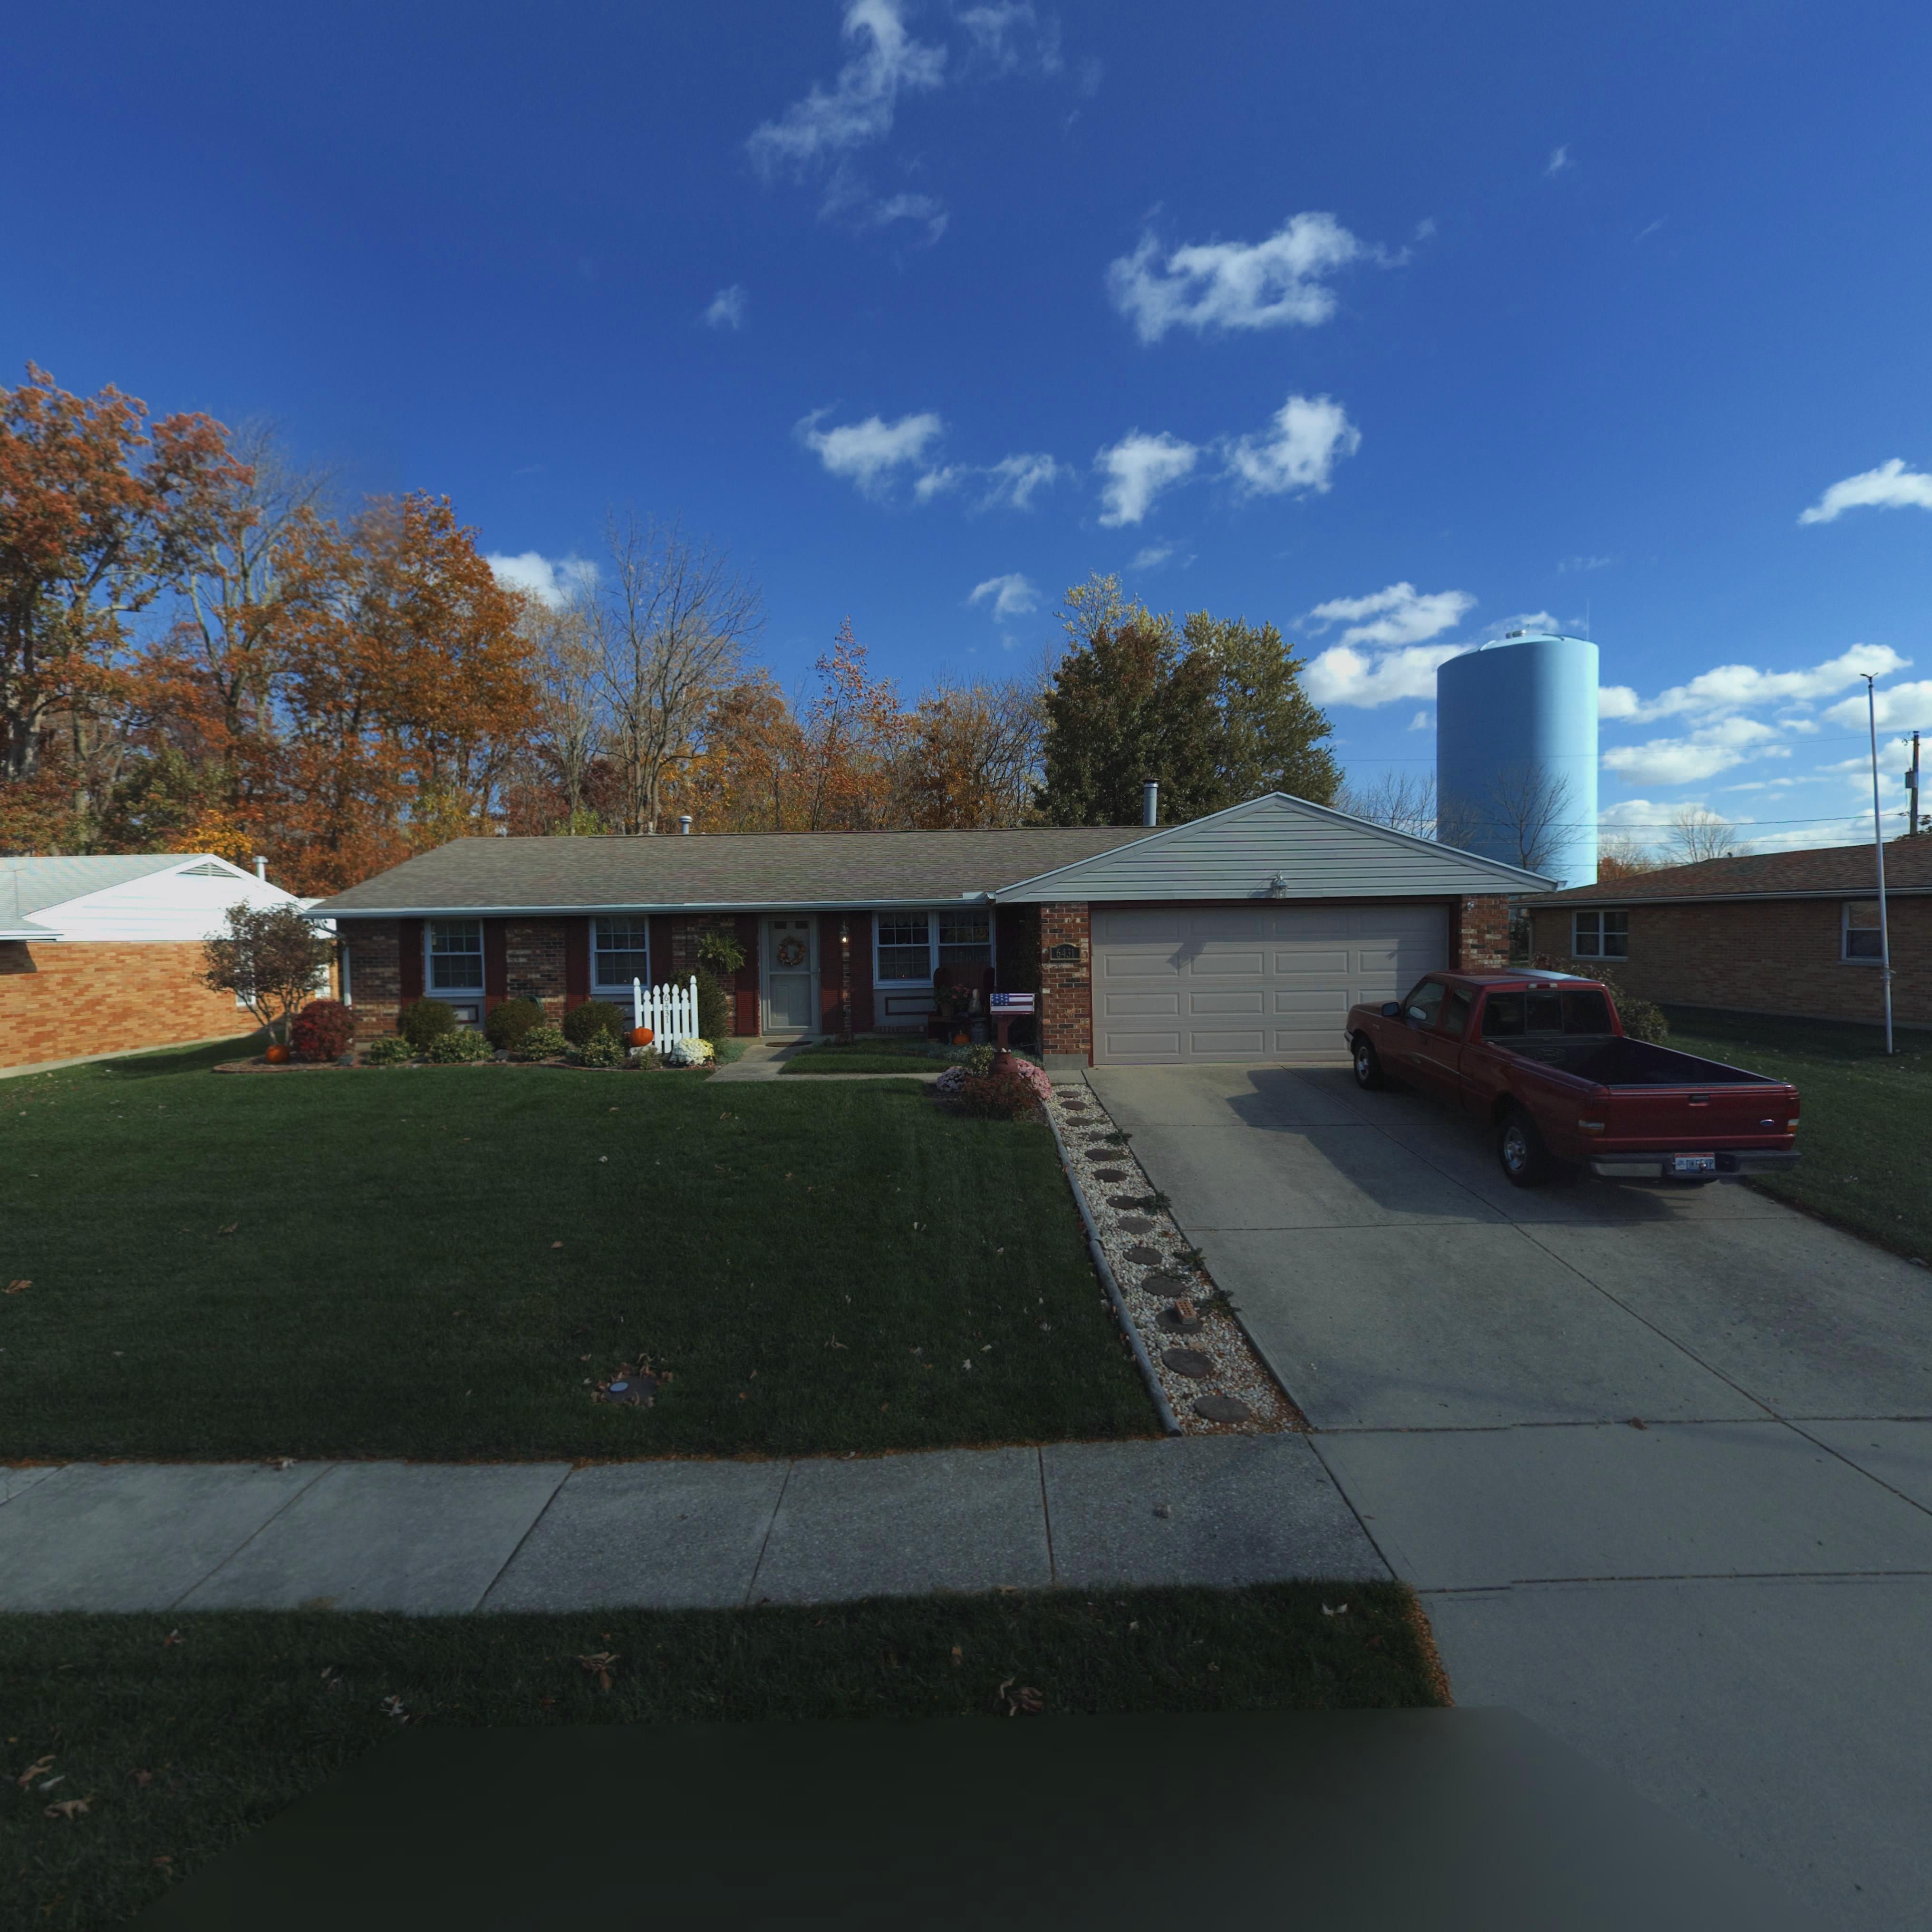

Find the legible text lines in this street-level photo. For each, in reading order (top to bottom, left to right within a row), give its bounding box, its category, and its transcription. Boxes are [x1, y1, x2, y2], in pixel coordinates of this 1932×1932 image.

[1056, 947, 1075, 958] StreetNumber: 6431
[664, 993, 669, 1024] StreetNumber: 6431